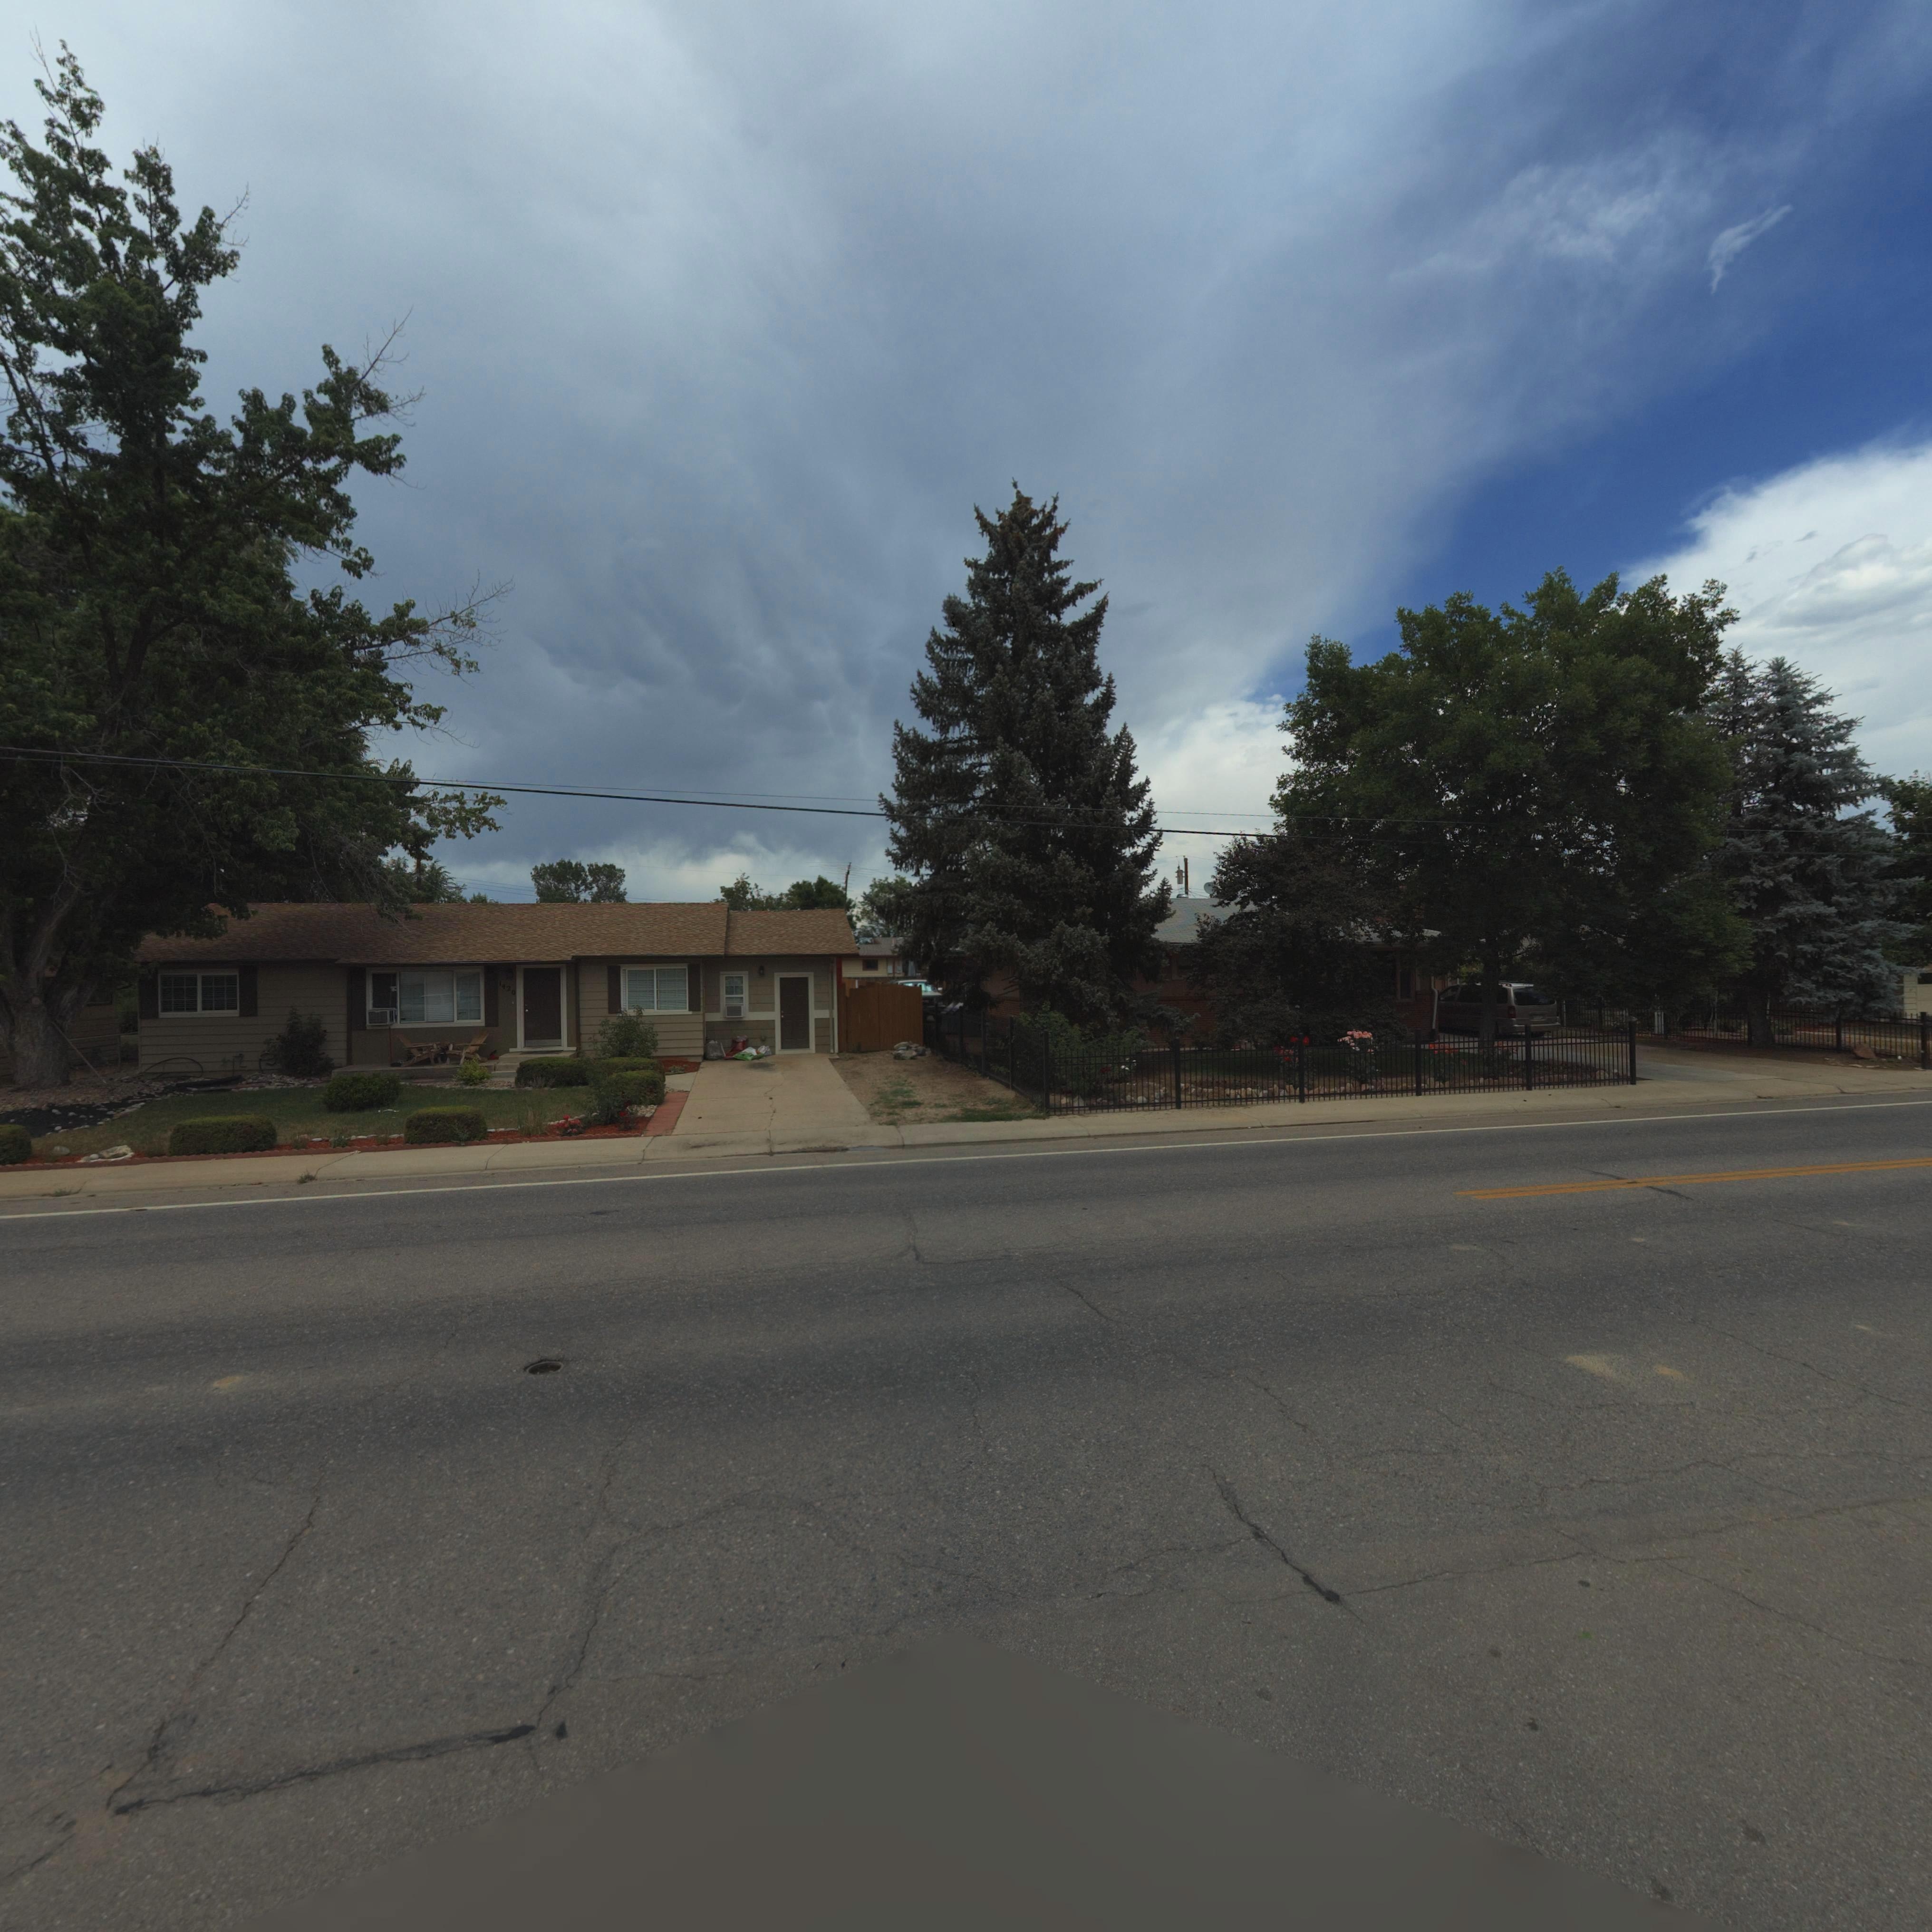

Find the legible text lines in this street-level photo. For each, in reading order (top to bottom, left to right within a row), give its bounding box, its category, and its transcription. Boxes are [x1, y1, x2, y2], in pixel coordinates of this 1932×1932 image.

[498, 980, 515, 995] StreetNumber: 1420